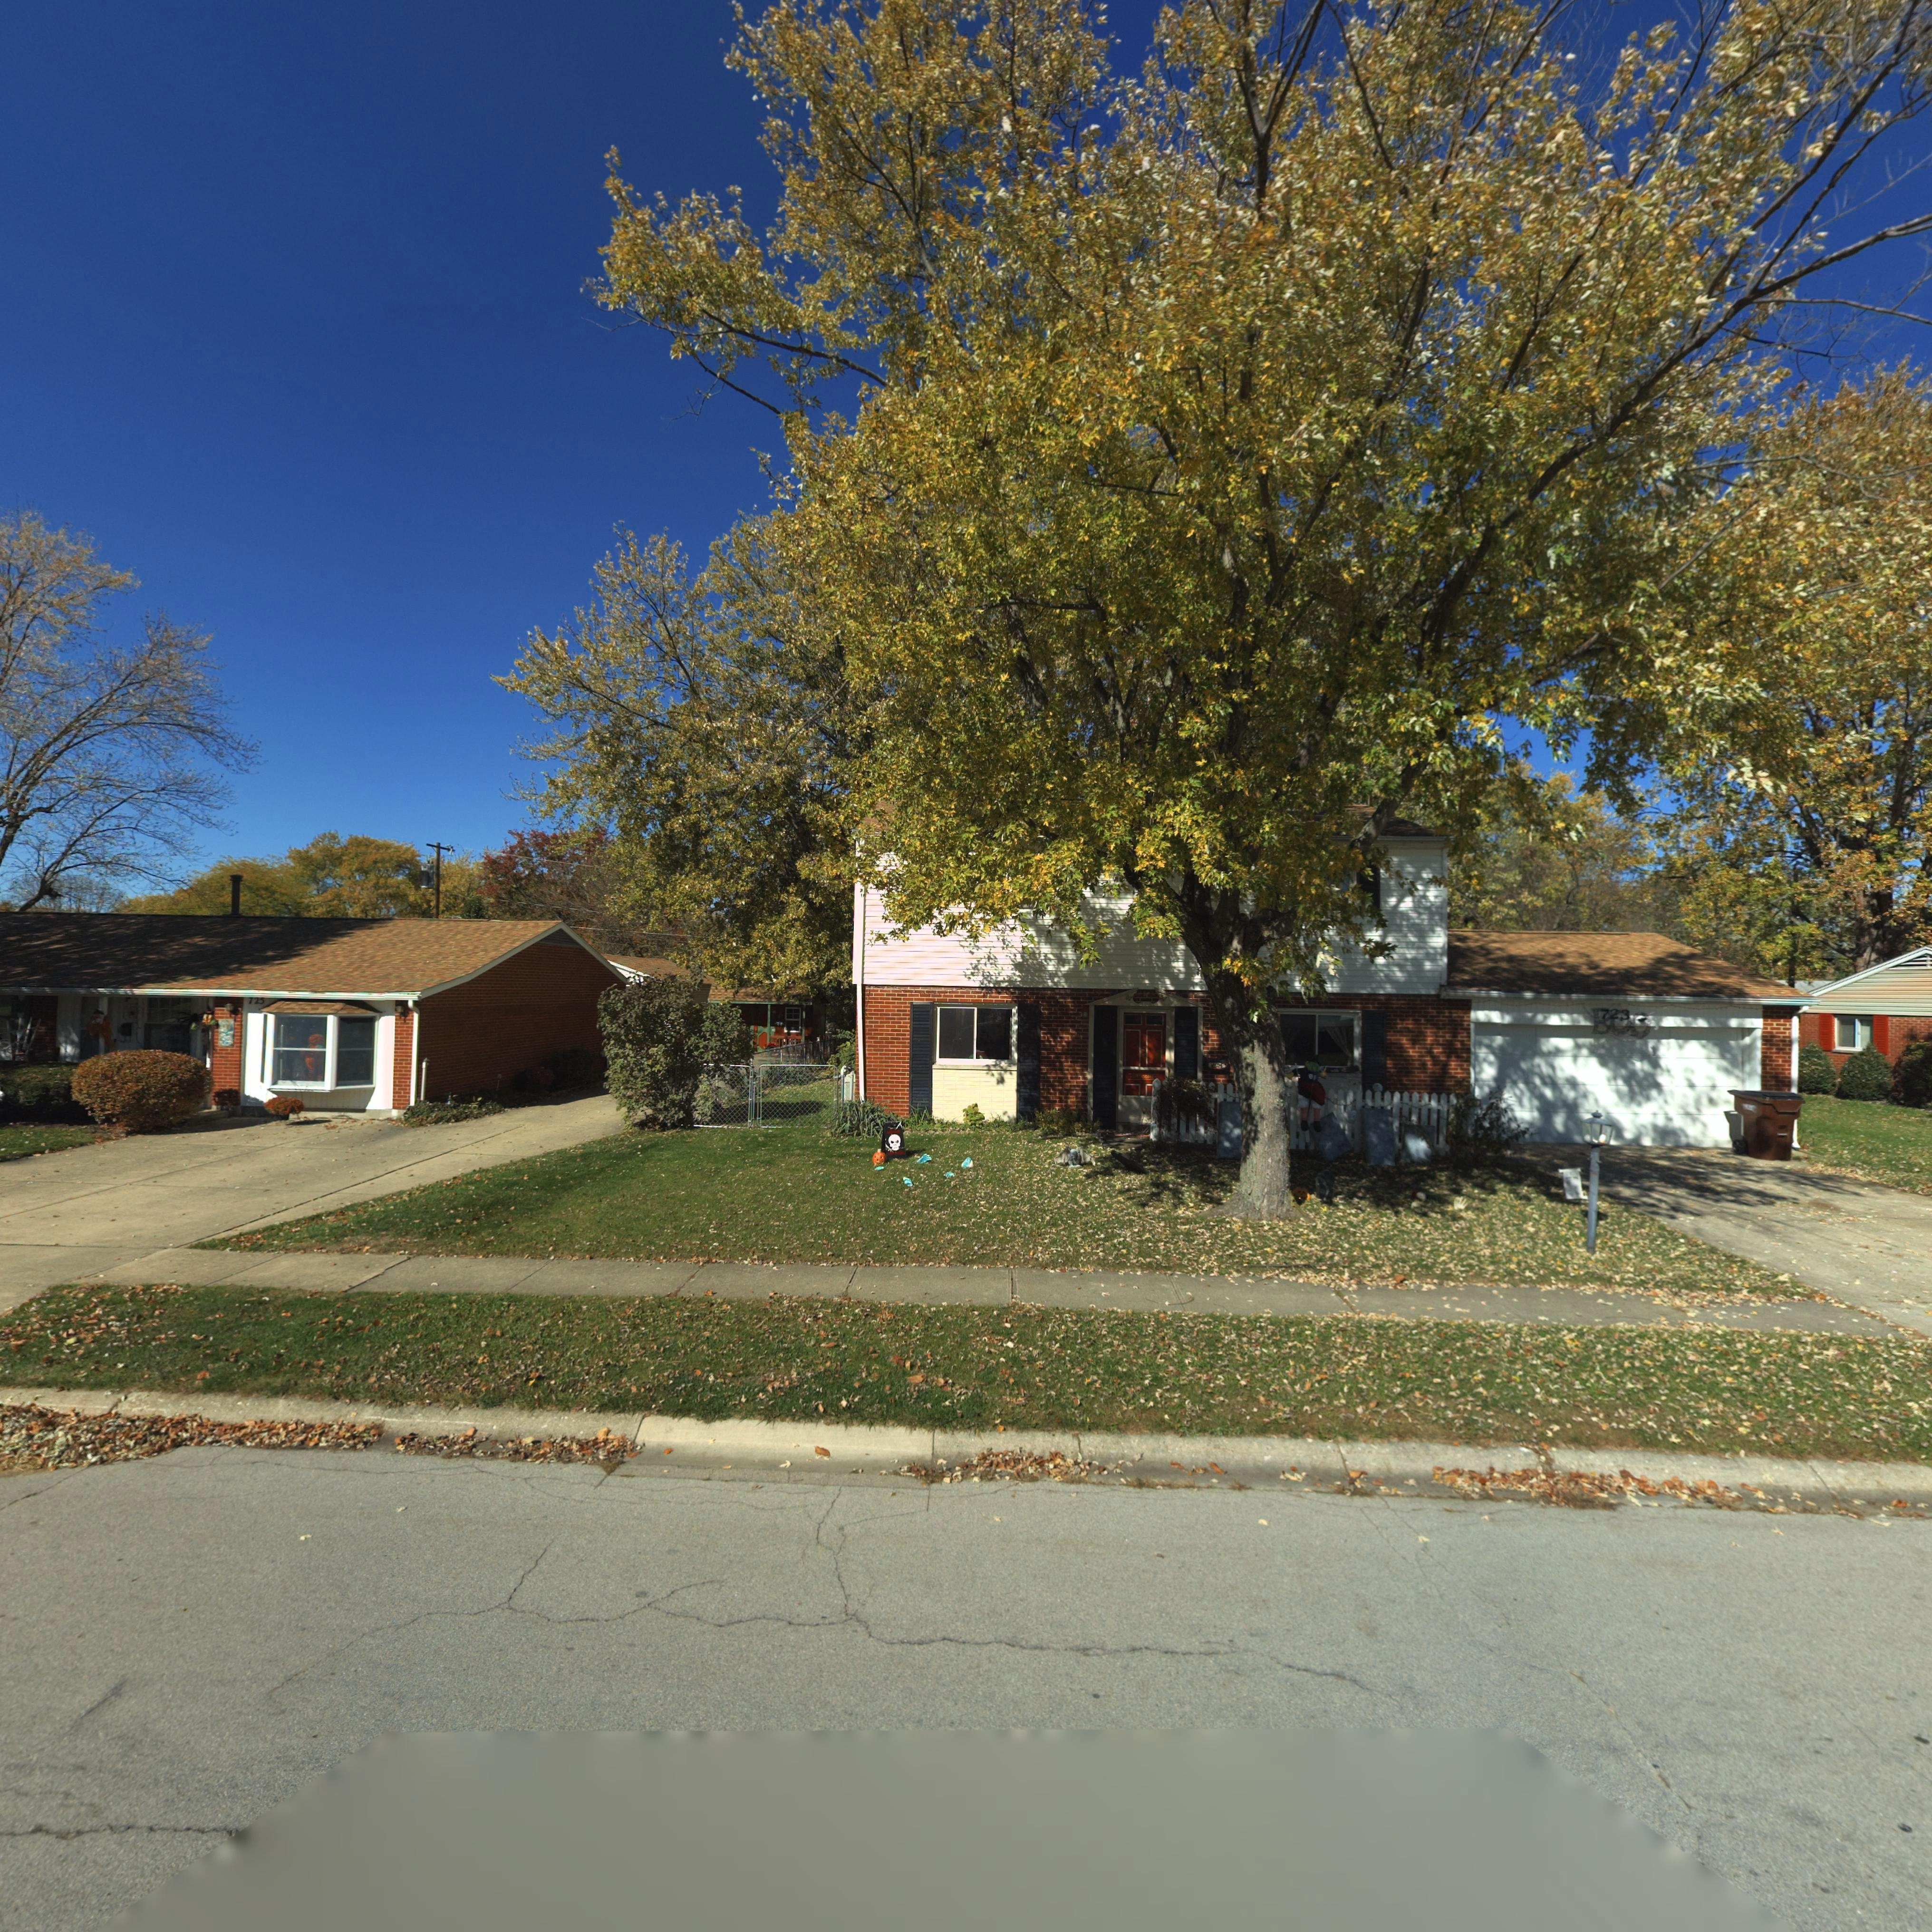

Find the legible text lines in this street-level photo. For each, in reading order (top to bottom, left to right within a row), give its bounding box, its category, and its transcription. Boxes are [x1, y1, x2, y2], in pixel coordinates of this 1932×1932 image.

[248, 997, 266, 1005] StreetNumber: 725
[1600, 1008, 1630, 1020] StreetNumber: 723